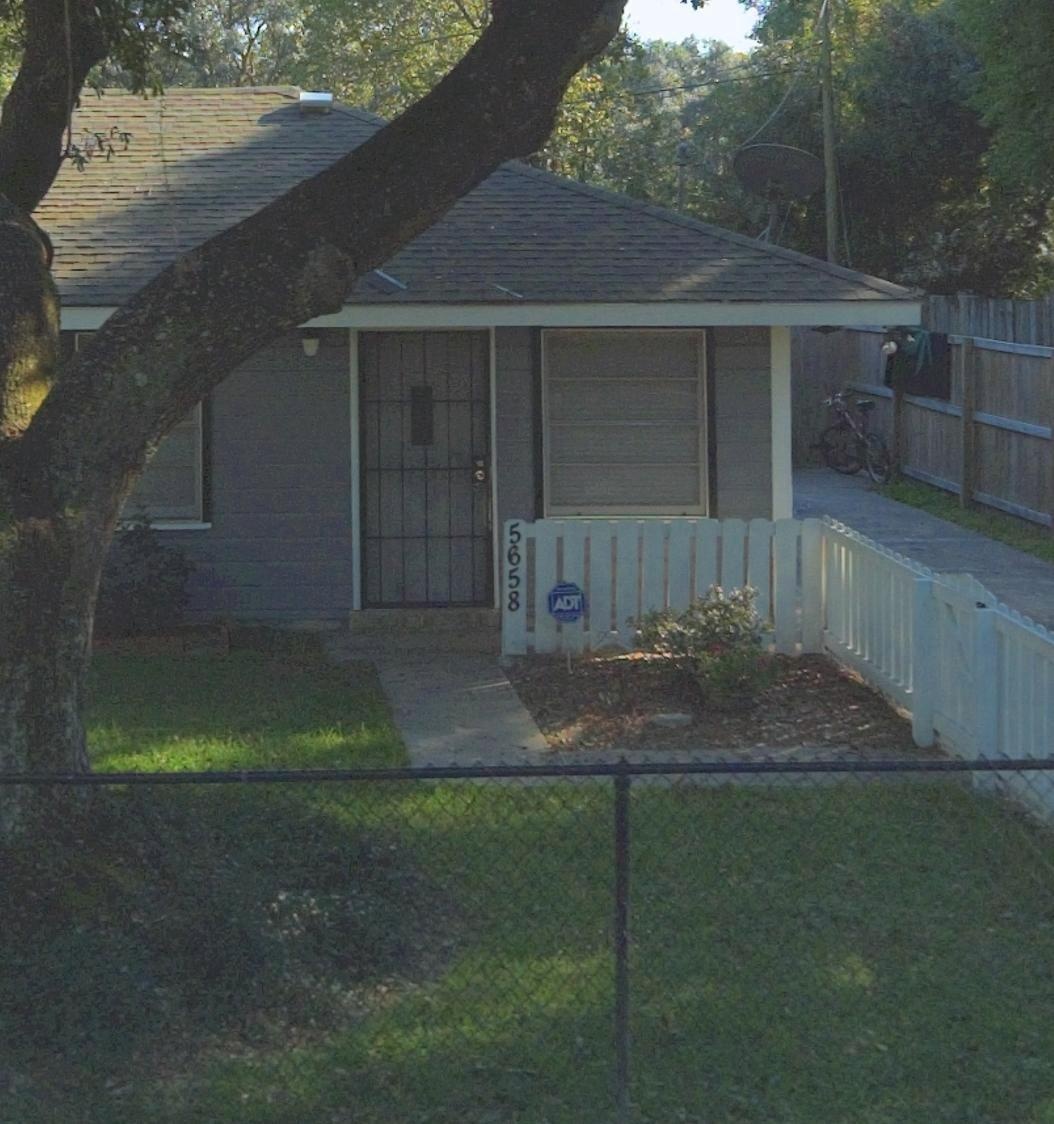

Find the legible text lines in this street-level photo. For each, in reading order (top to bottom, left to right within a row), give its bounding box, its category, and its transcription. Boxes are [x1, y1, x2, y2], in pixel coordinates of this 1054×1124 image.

[507, 520, 521, 613] StreetNumber: 5658
[552, 594, 583, 612] None: ADT